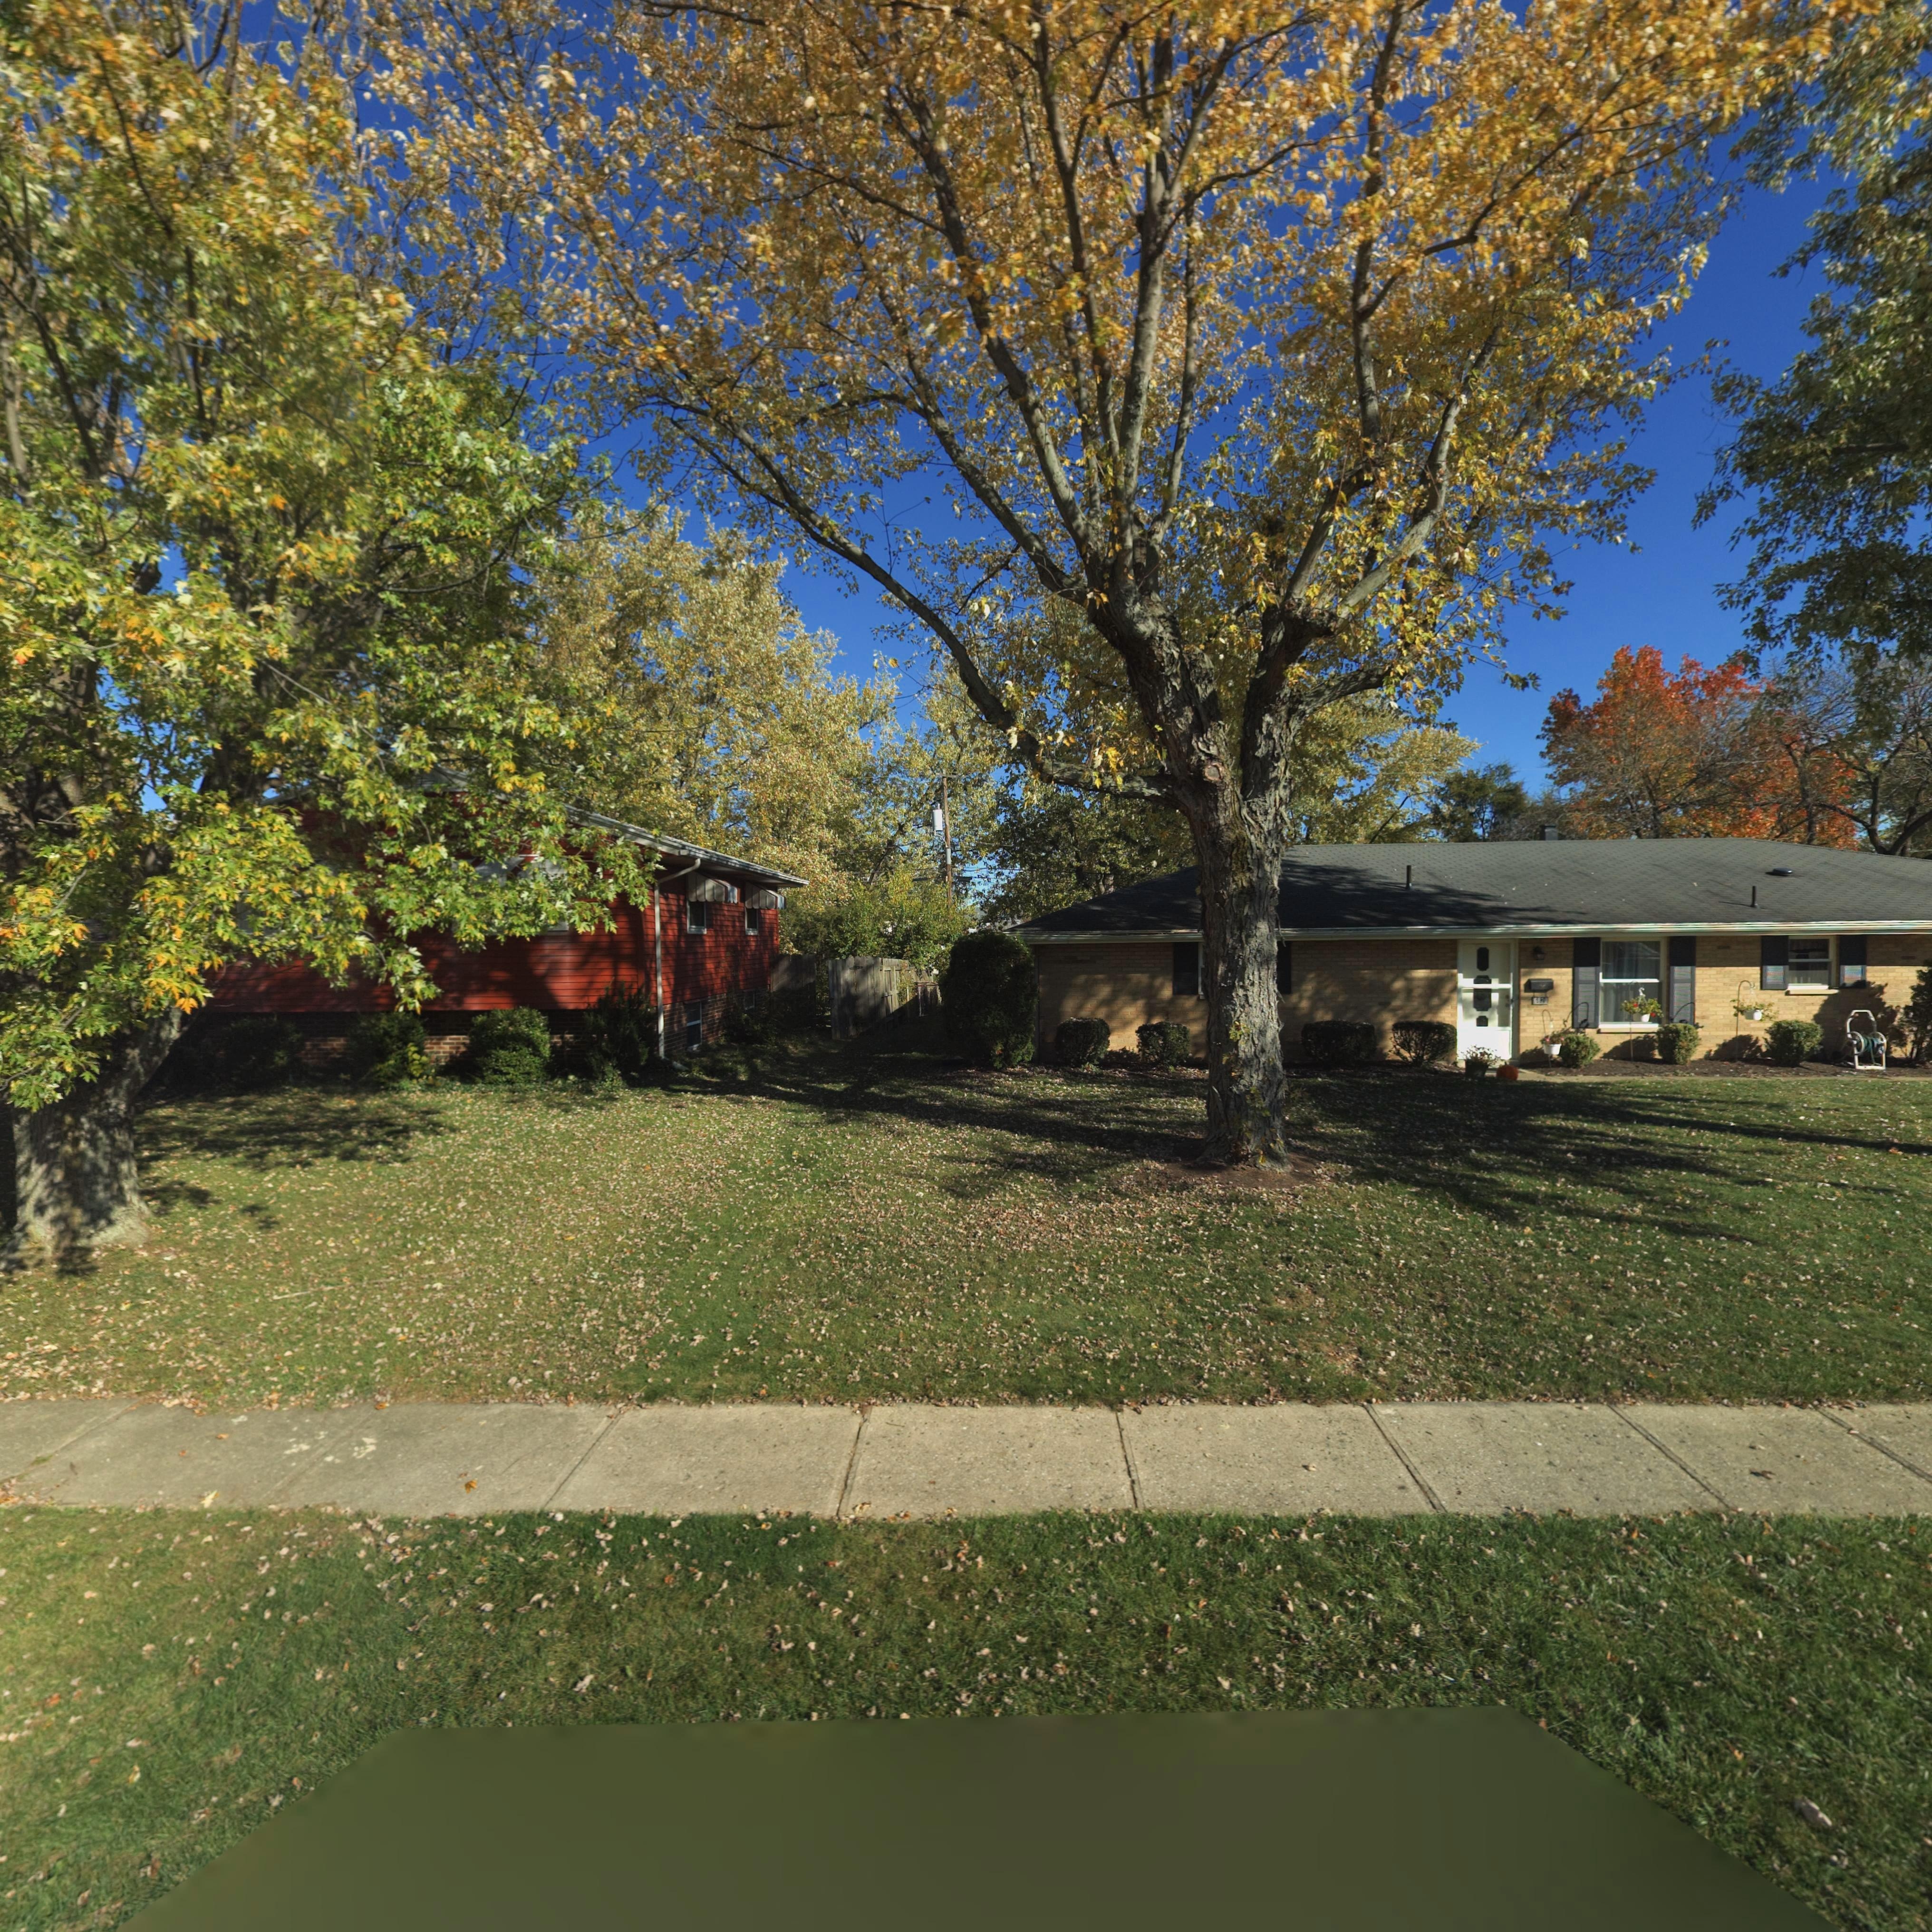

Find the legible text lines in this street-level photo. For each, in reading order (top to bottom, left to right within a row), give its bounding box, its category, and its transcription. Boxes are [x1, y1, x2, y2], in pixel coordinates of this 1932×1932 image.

[1533, 997, 1548, 1004] StreetNumber: 6820